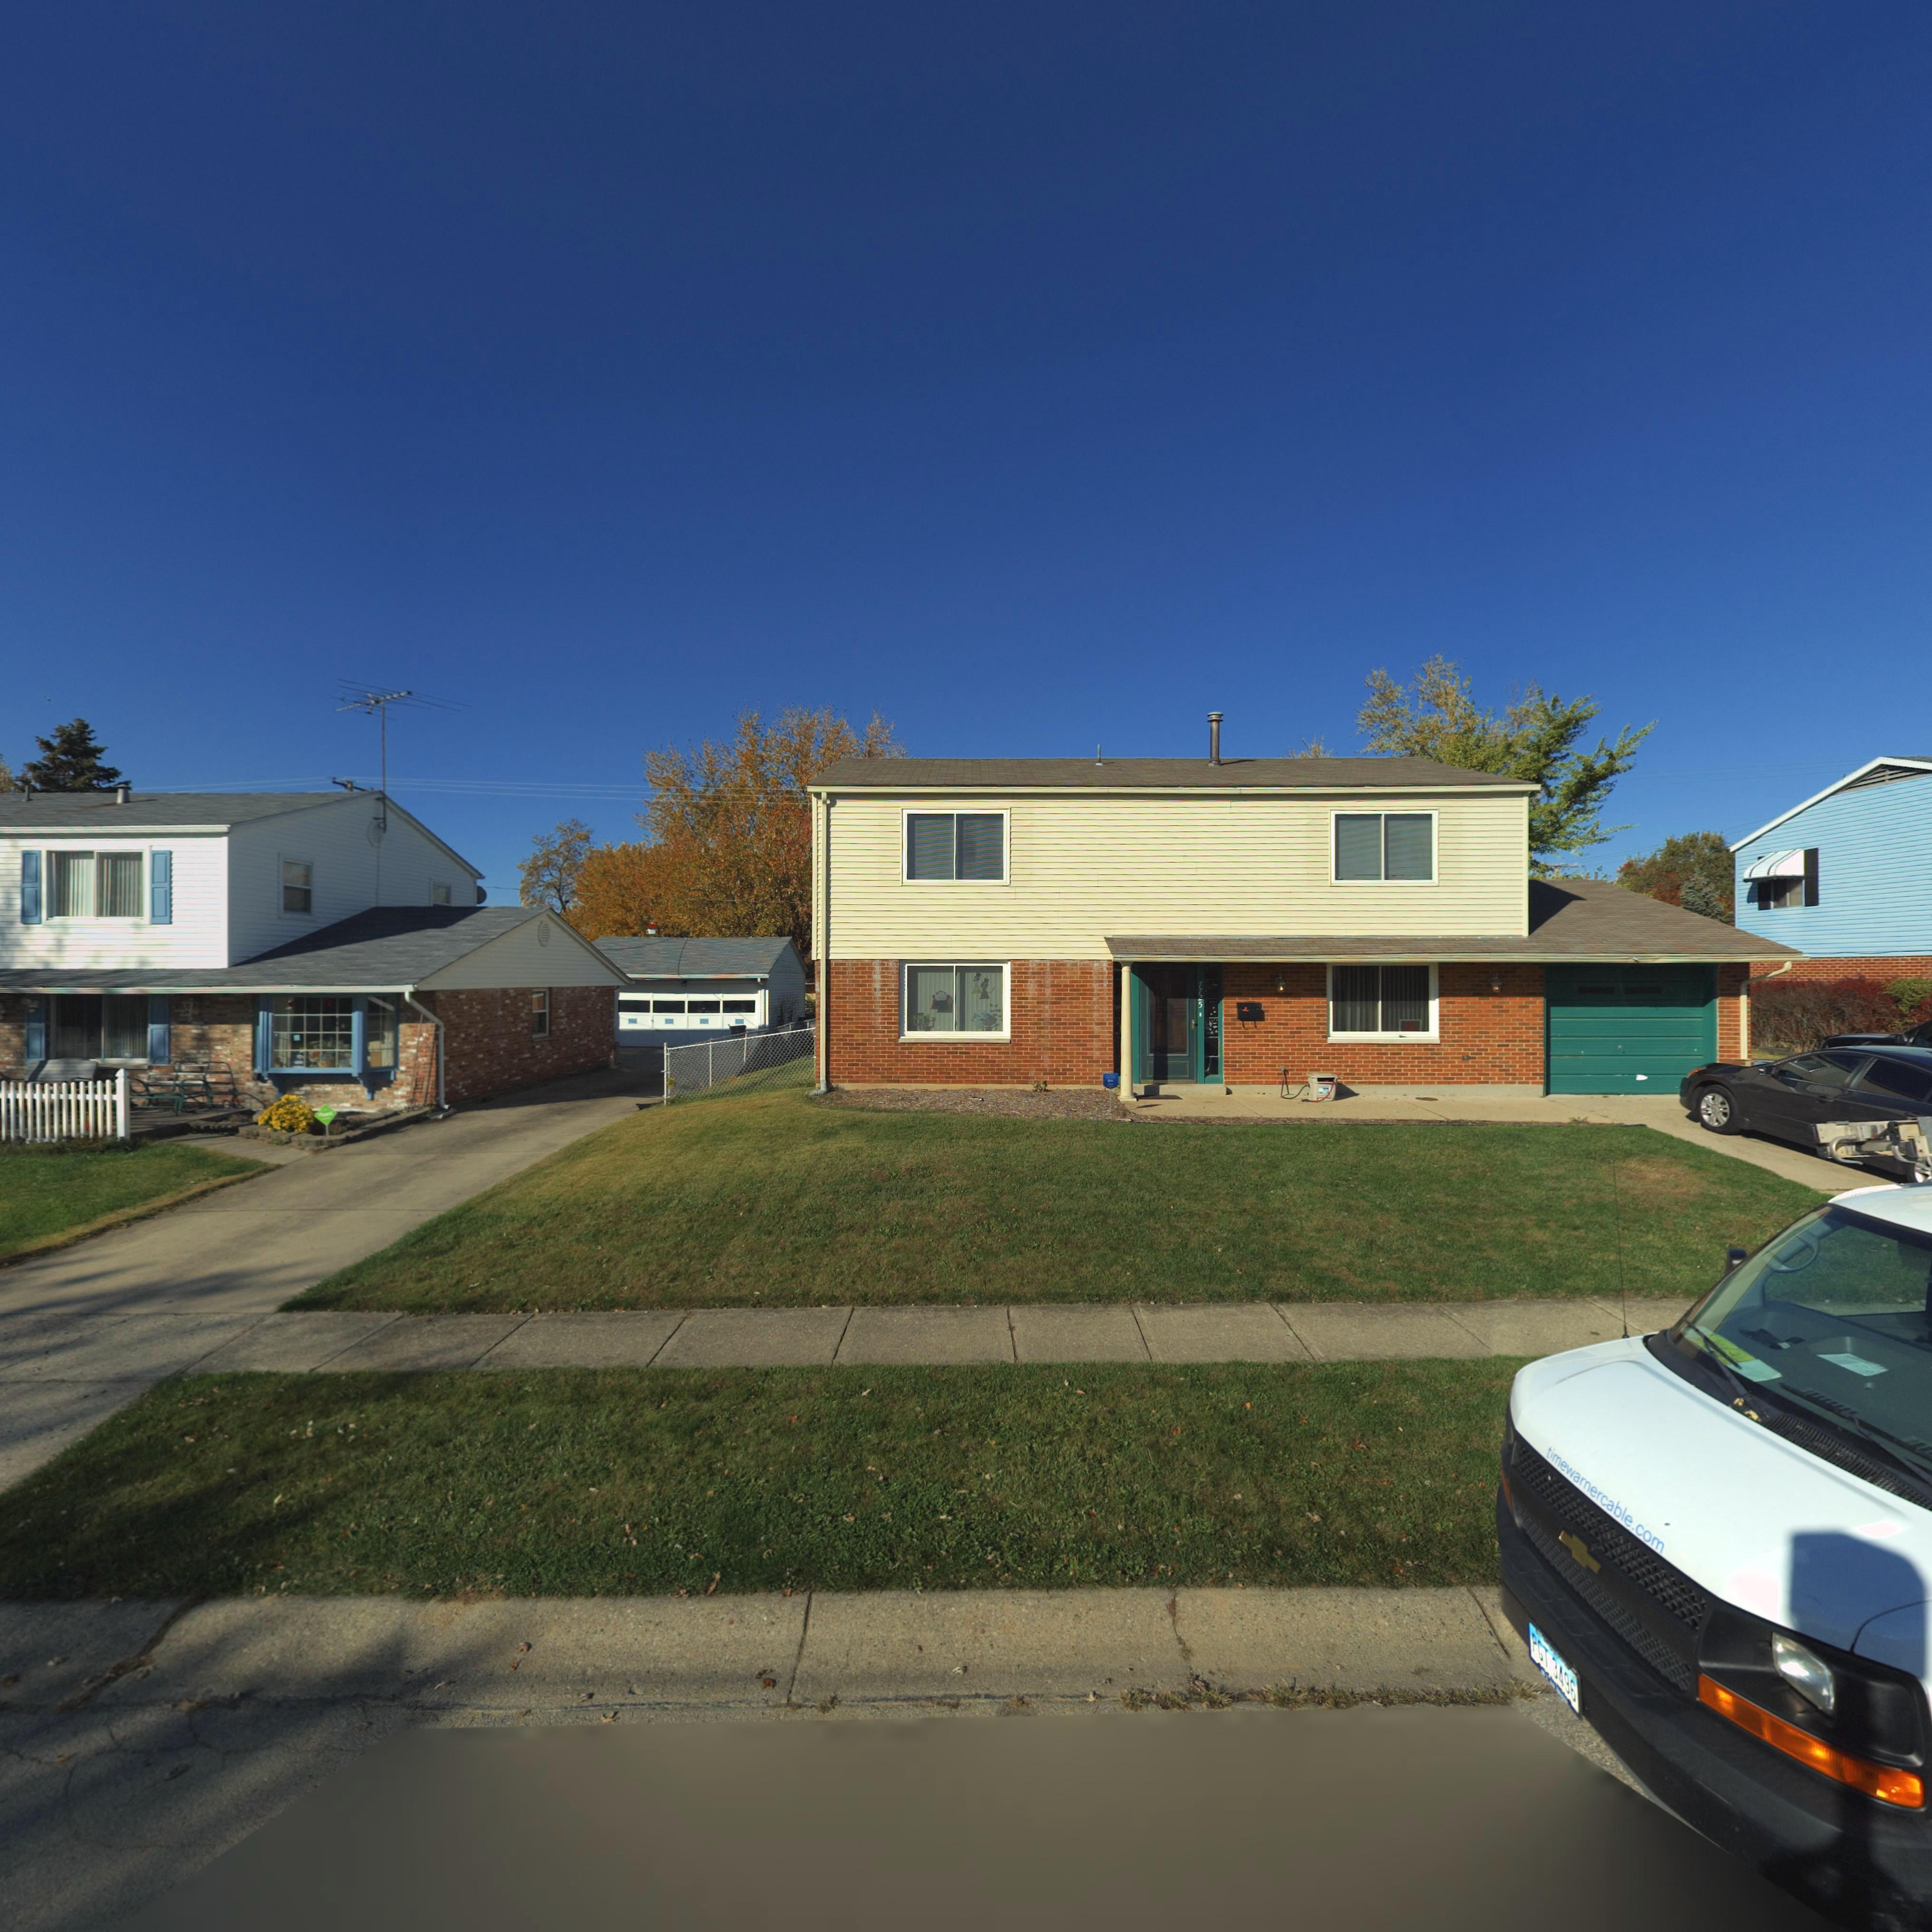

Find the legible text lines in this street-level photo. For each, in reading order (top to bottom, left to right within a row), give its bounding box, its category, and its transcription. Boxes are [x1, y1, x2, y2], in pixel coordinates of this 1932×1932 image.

[1198, 980, 1203, 1009] StreetNumber: 7725